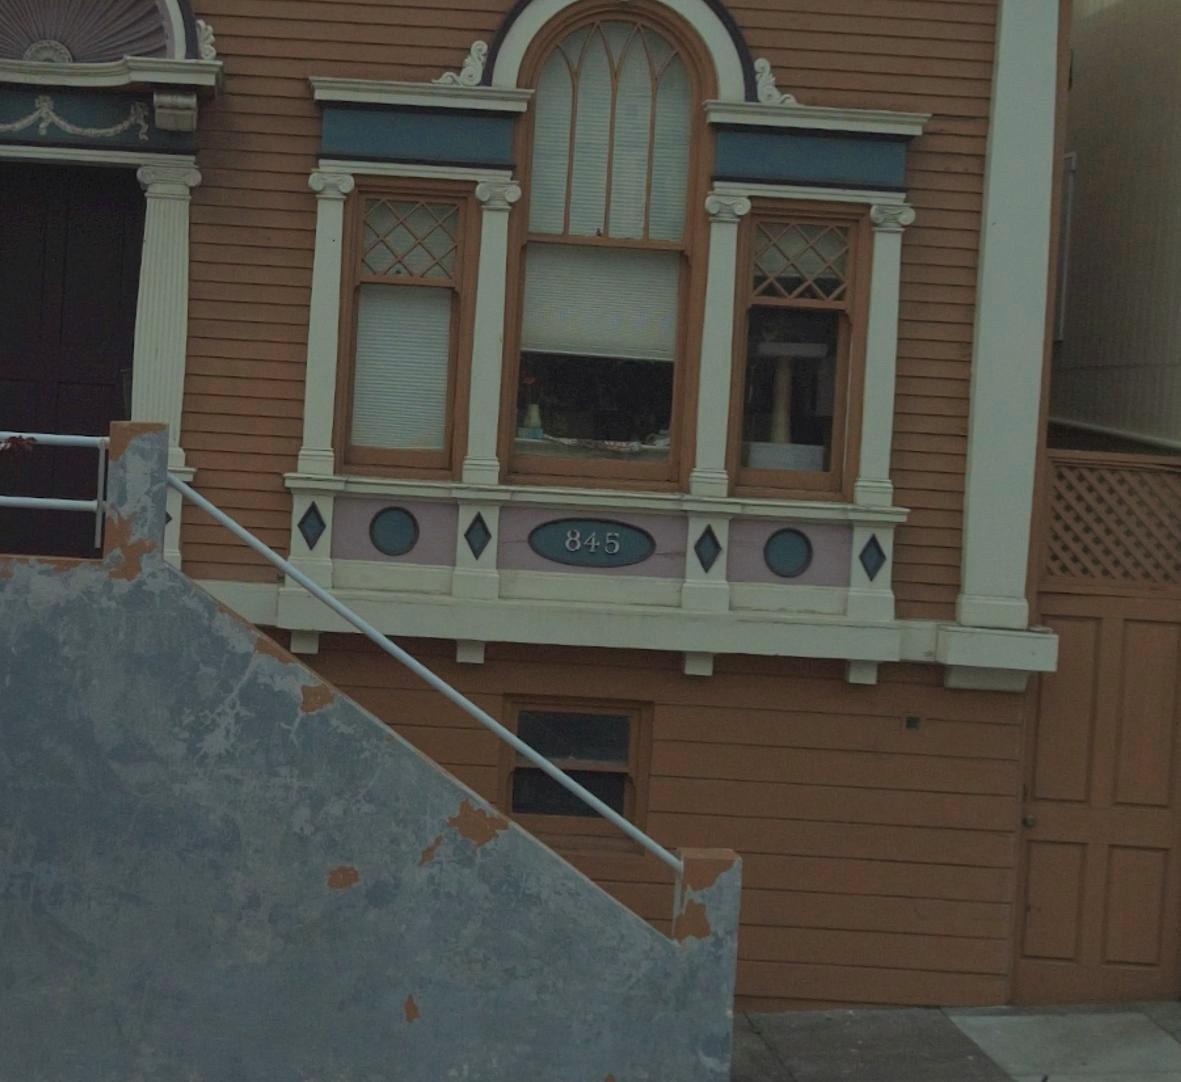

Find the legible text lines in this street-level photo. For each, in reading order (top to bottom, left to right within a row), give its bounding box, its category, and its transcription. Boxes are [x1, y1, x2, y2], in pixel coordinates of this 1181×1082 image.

[562, 527, 623, 555] StreetNumber: 845